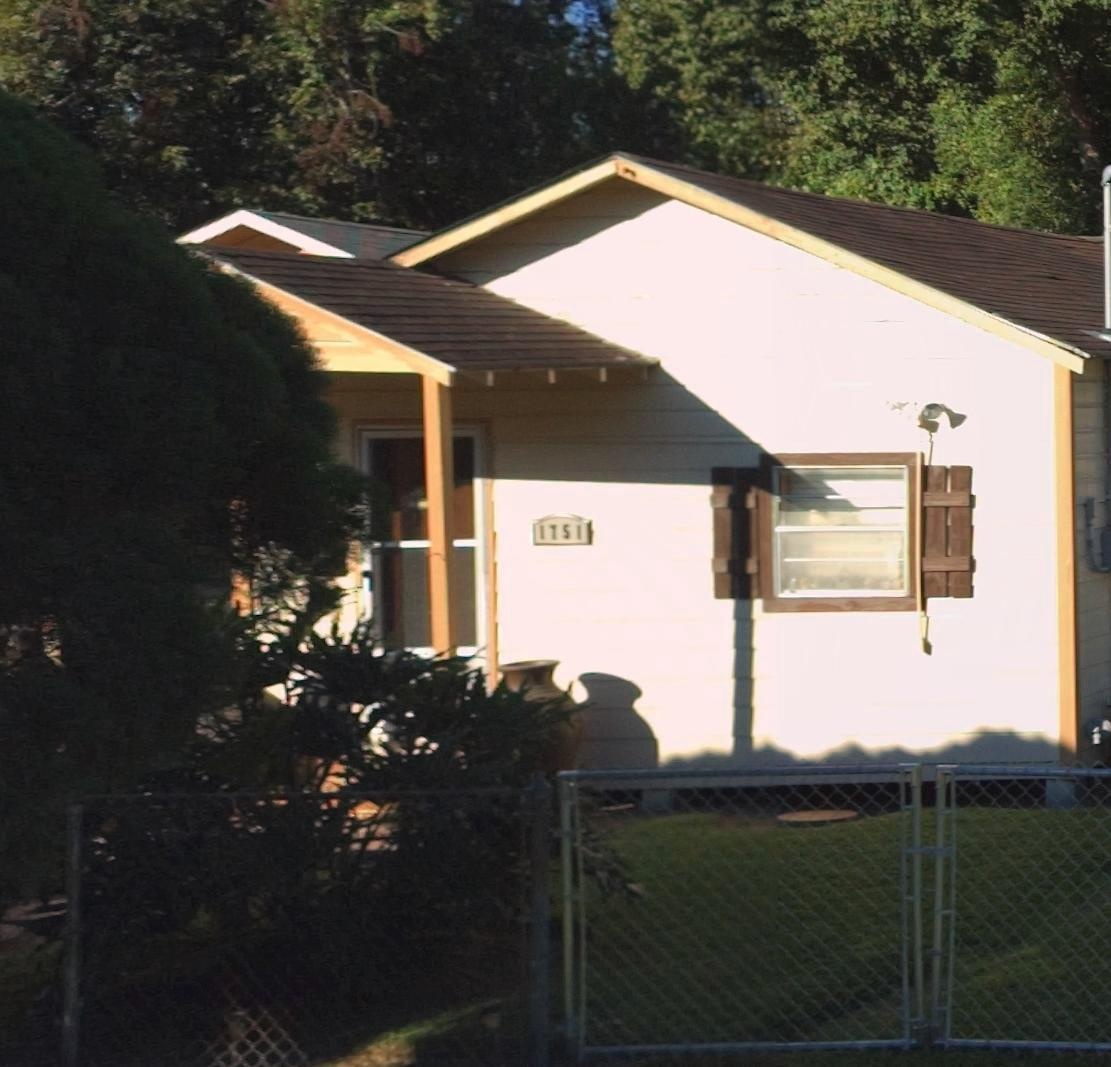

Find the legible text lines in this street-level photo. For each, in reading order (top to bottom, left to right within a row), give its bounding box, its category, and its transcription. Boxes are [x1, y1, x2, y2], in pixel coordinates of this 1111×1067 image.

[537, 521, 584, 542] StreetNumber: 1751